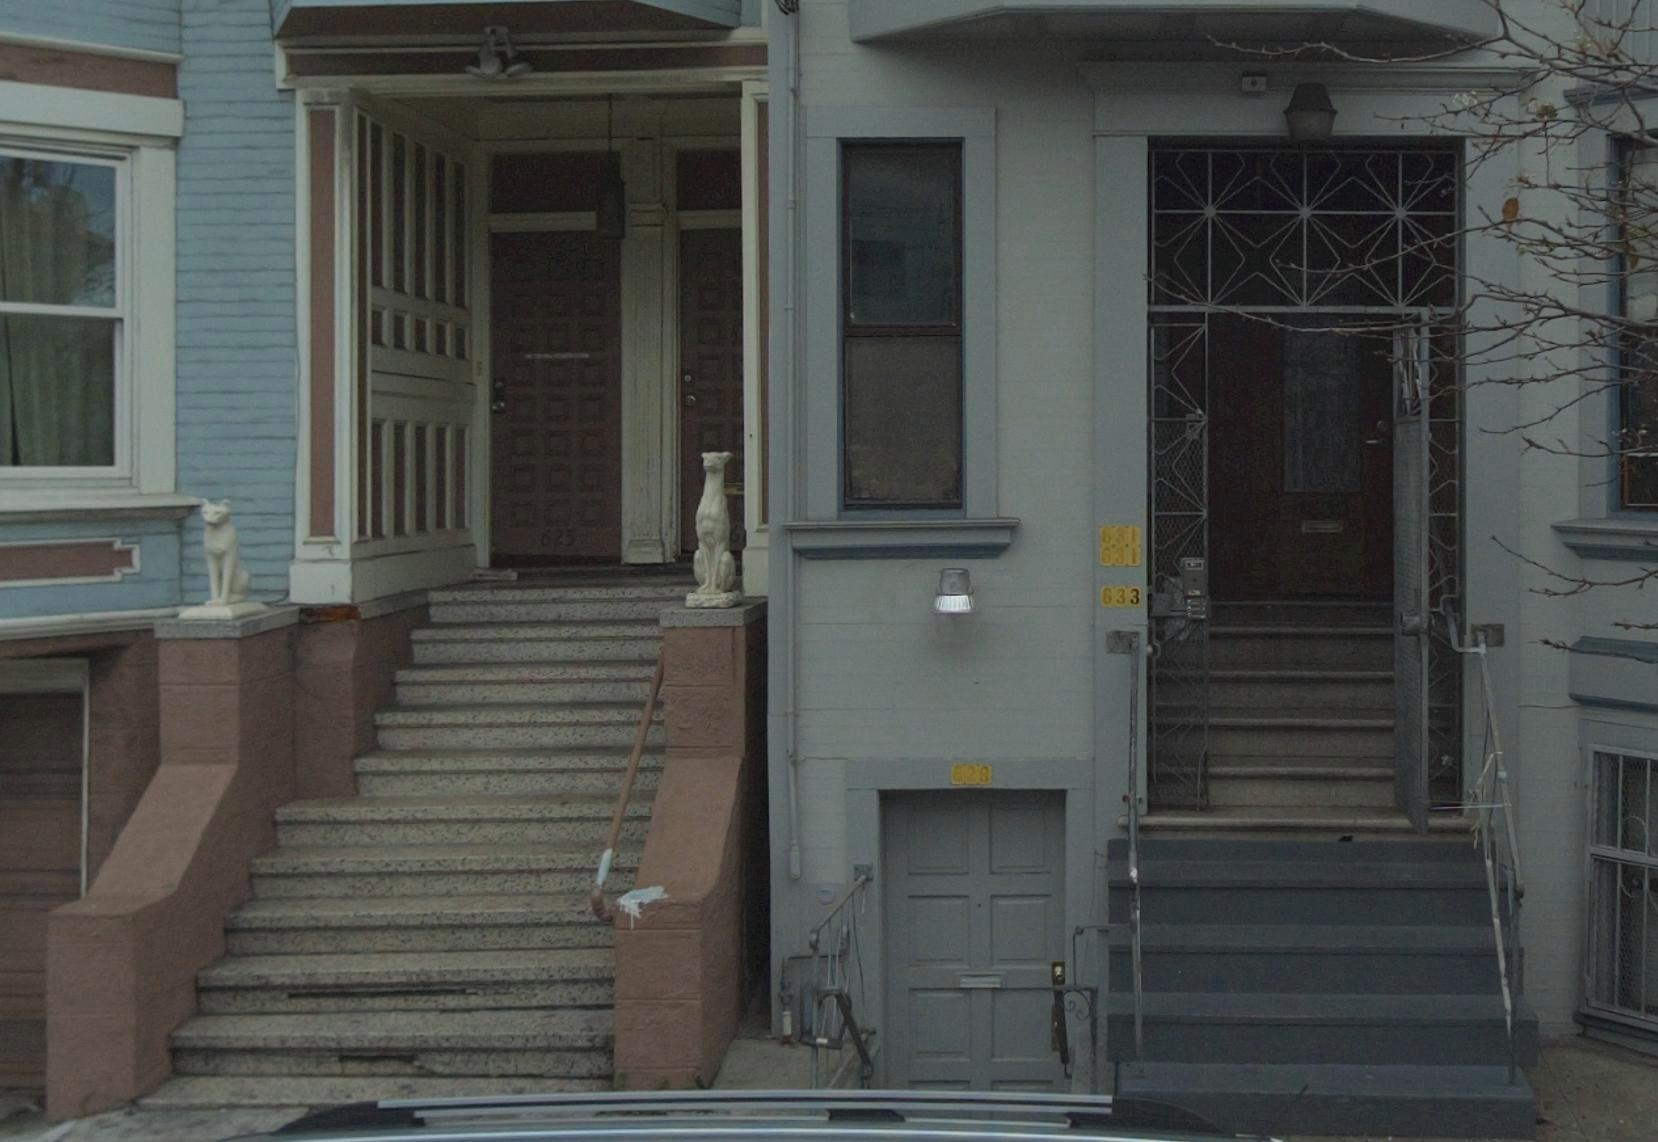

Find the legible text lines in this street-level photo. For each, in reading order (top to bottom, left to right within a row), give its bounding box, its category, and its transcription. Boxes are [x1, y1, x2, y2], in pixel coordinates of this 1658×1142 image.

[539, 528, 576, 547] StreetNumber: 625
[729, 525, 741, 544] StreetNumber: 6
[1100, 526, 1139, 545] StreetNumber: 631
[1101, 545, 1137, 565] StreetNumber: 631
[1102, 586, 1141, 606] StreetNumber: 633
[953, 764, 990, 783] StreetNumber: 629